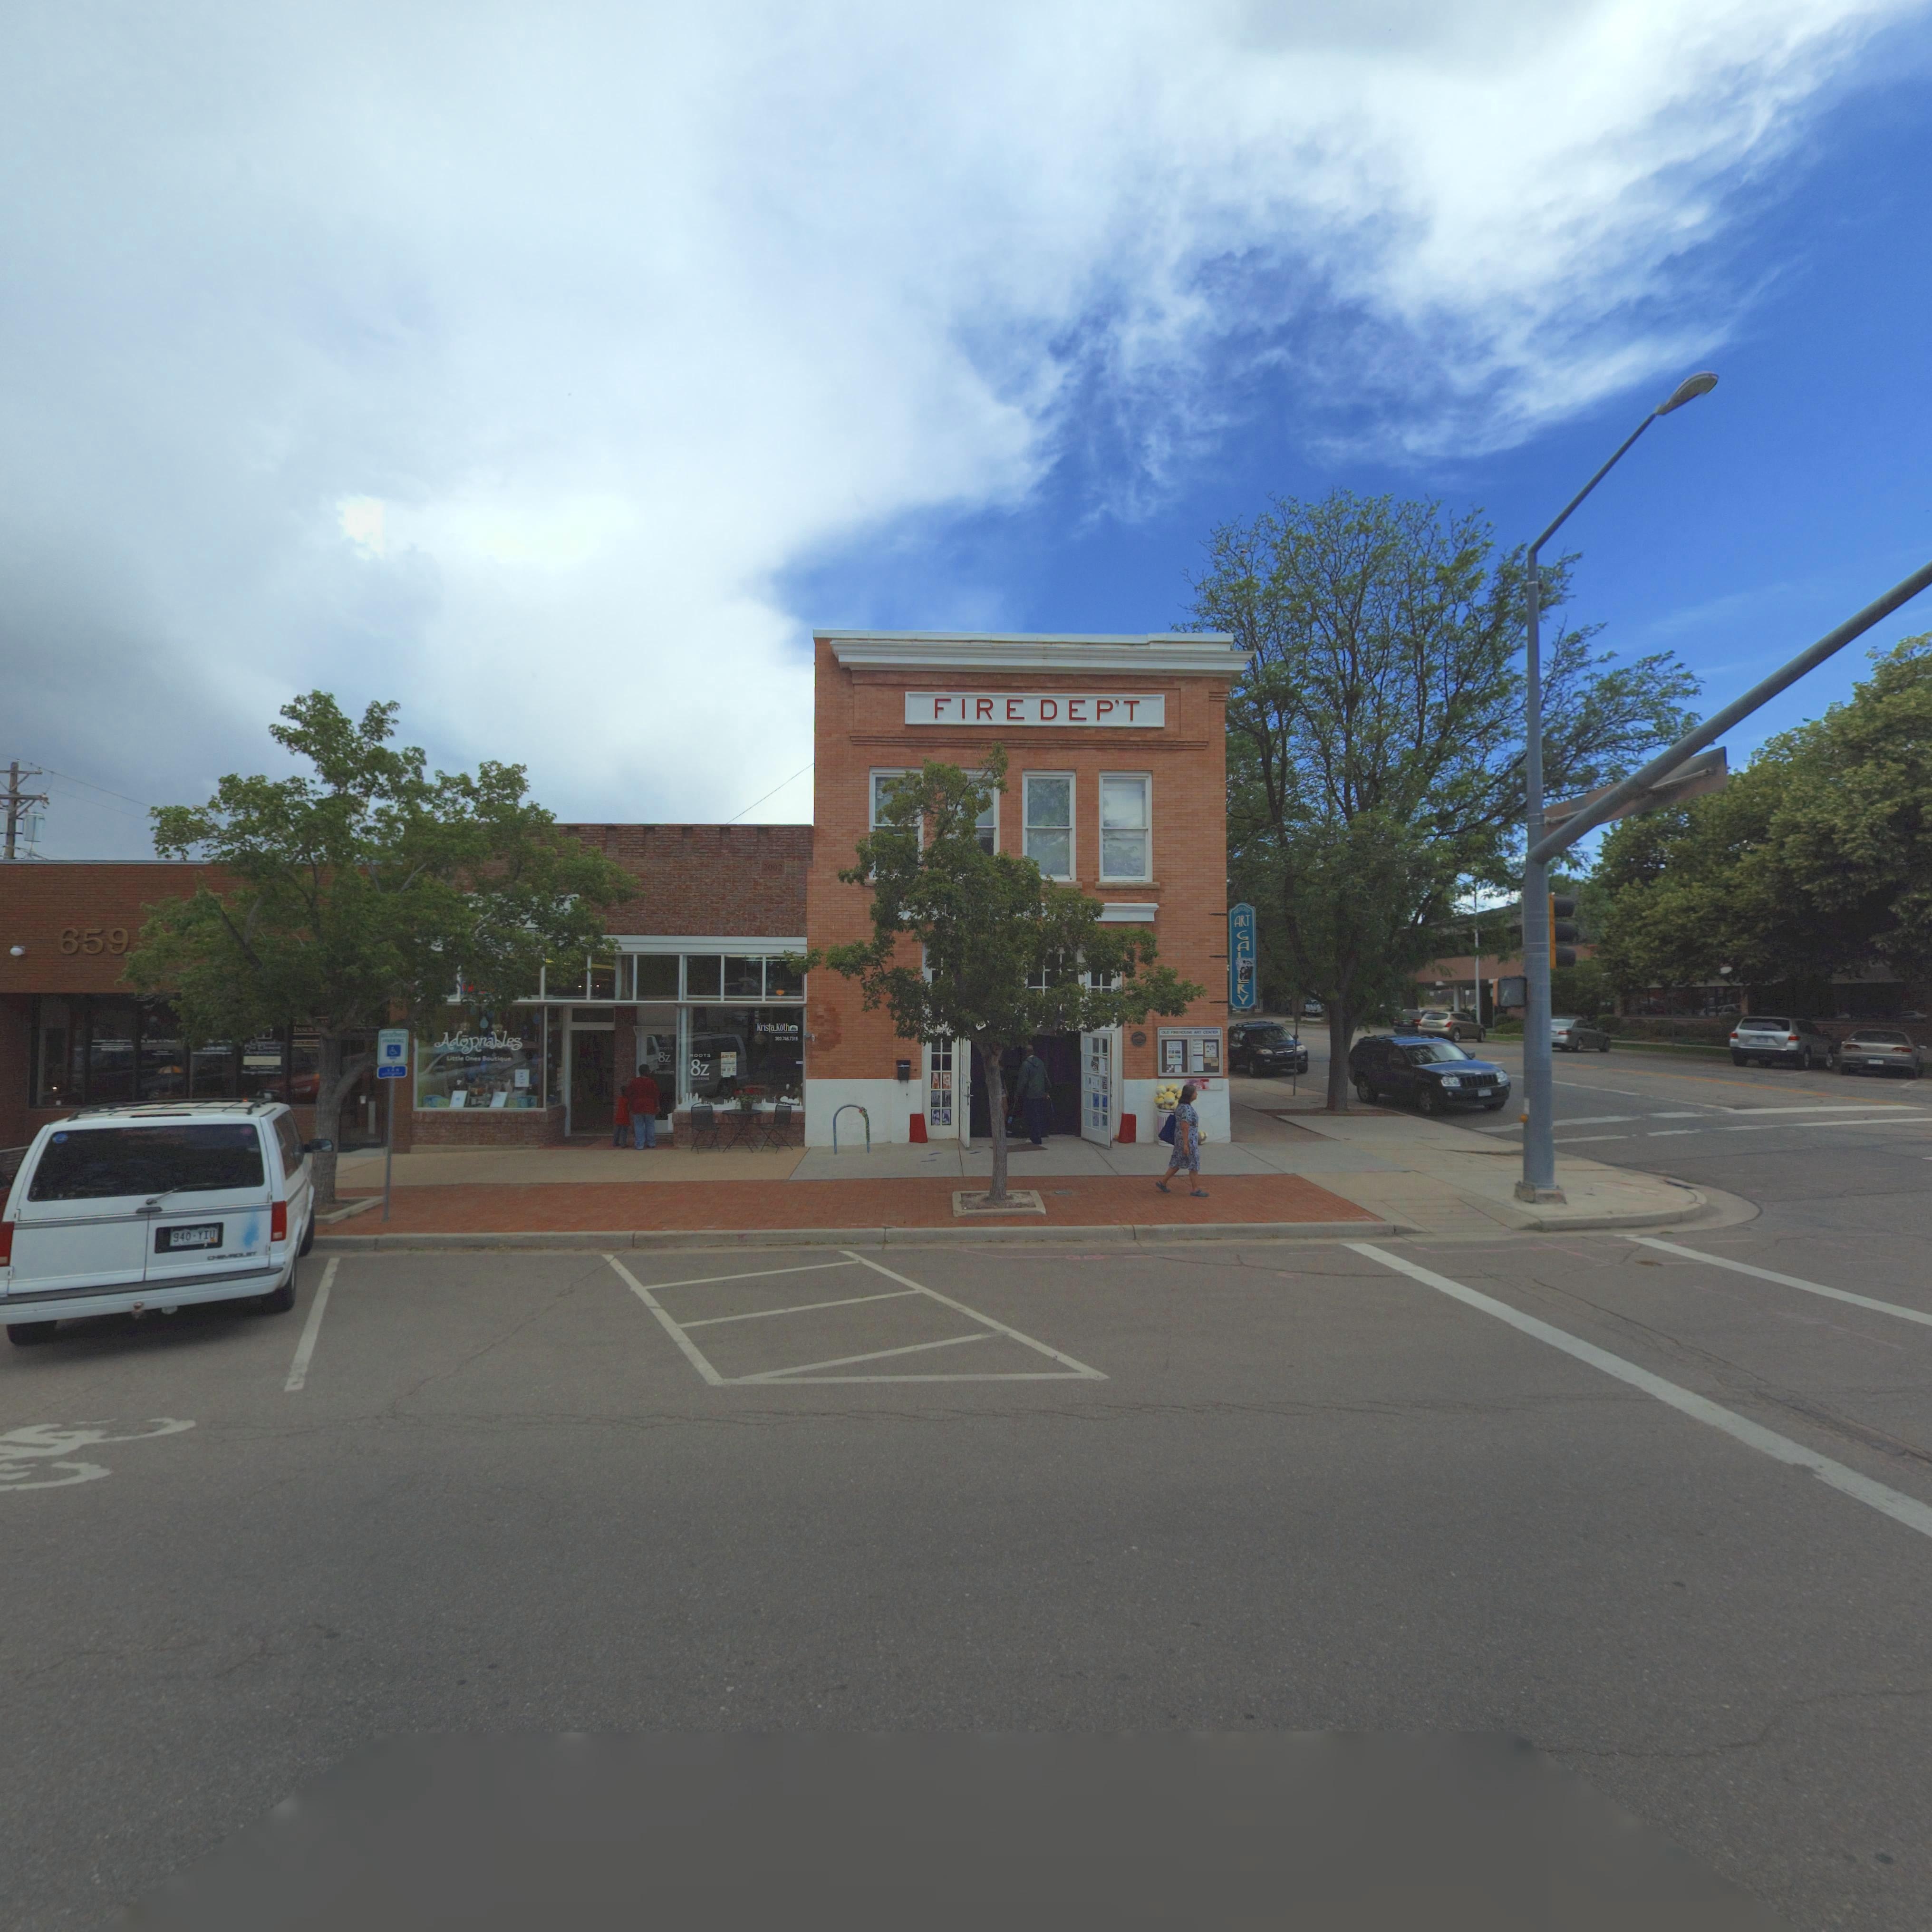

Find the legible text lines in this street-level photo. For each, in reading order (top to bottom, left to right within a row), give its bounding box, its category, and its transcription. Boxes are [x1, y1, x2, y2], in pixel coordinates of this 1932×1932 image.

[58, 927, 128, 957] StreetNumber: 659
[293, 1026, 316, 1032] BusinessName: INSU
[1160, 1030, 1218, 1034] BusinessName: OLF FIF** HOU*** ART CENTER
[434, 1030, 523, 1054] BusinessName: AdoRnables
[446, 1055, 511, 1063] BusinessName: Little Ones Boutique